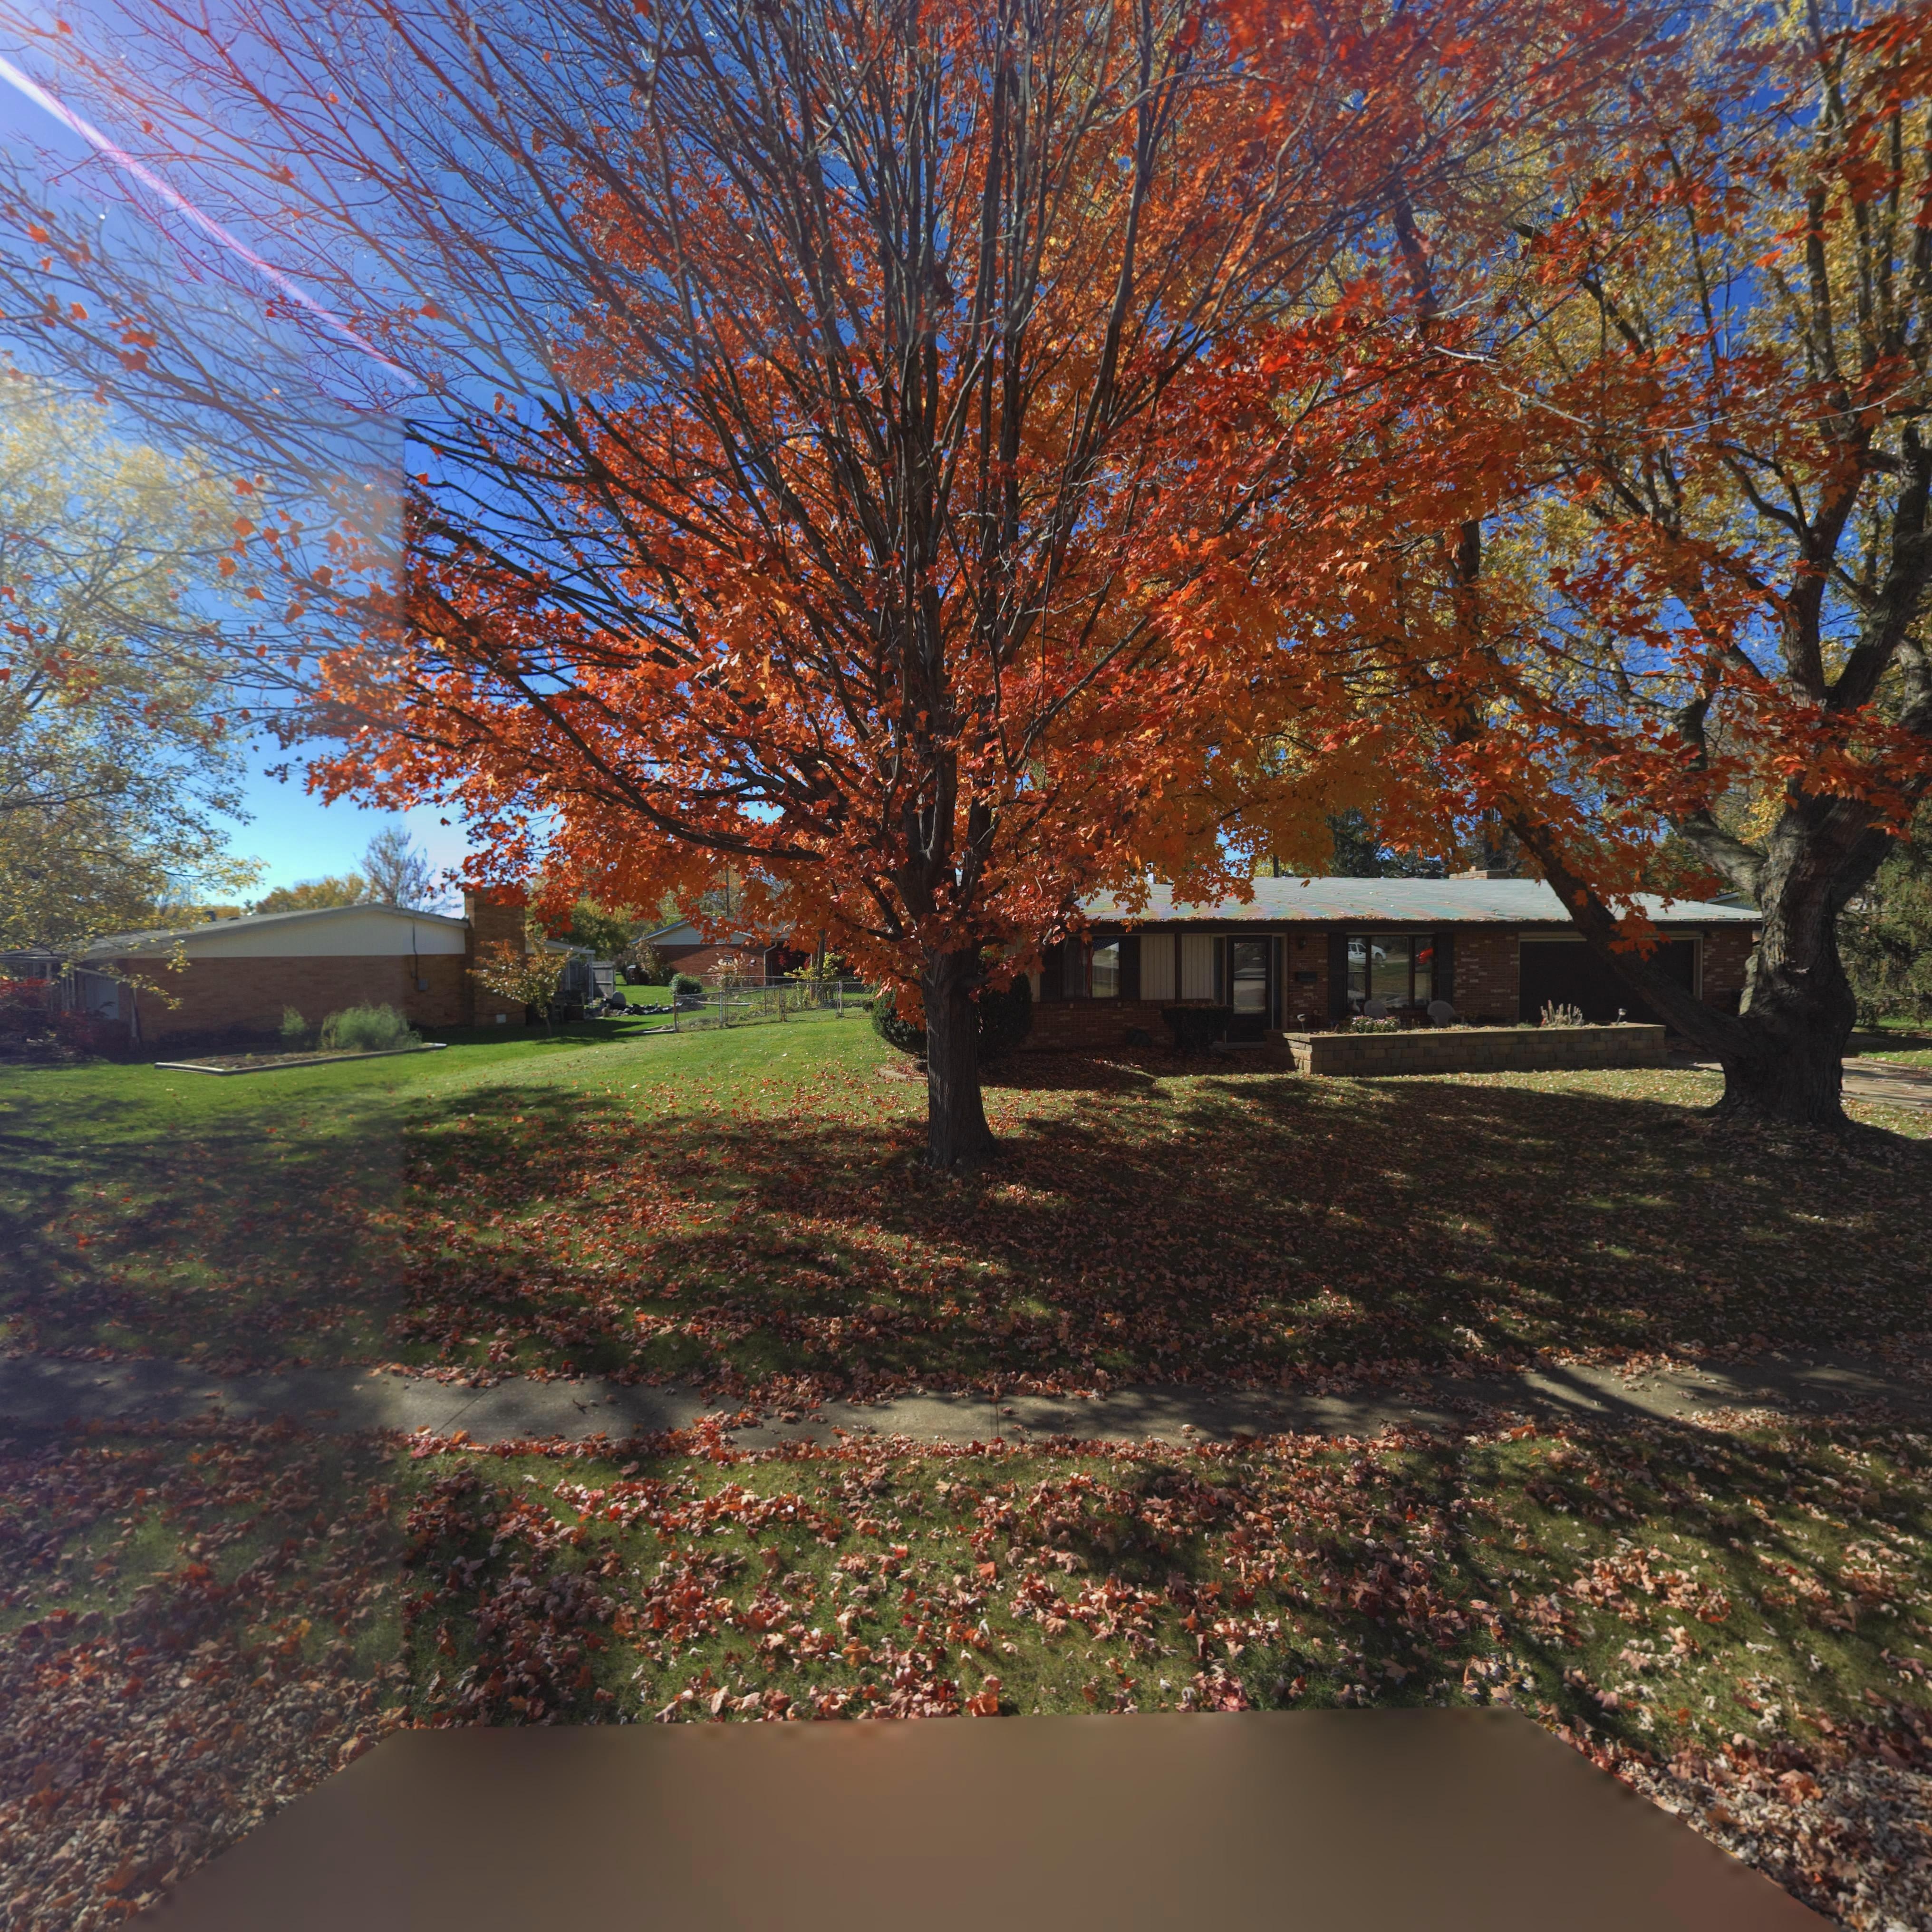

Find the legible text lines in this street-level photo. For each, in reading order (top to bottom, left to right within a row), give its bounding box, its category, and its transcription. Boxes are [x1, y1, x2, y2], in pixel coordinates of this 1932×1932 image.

[1296, 962, 1307, 970] StreetNumber: 1010